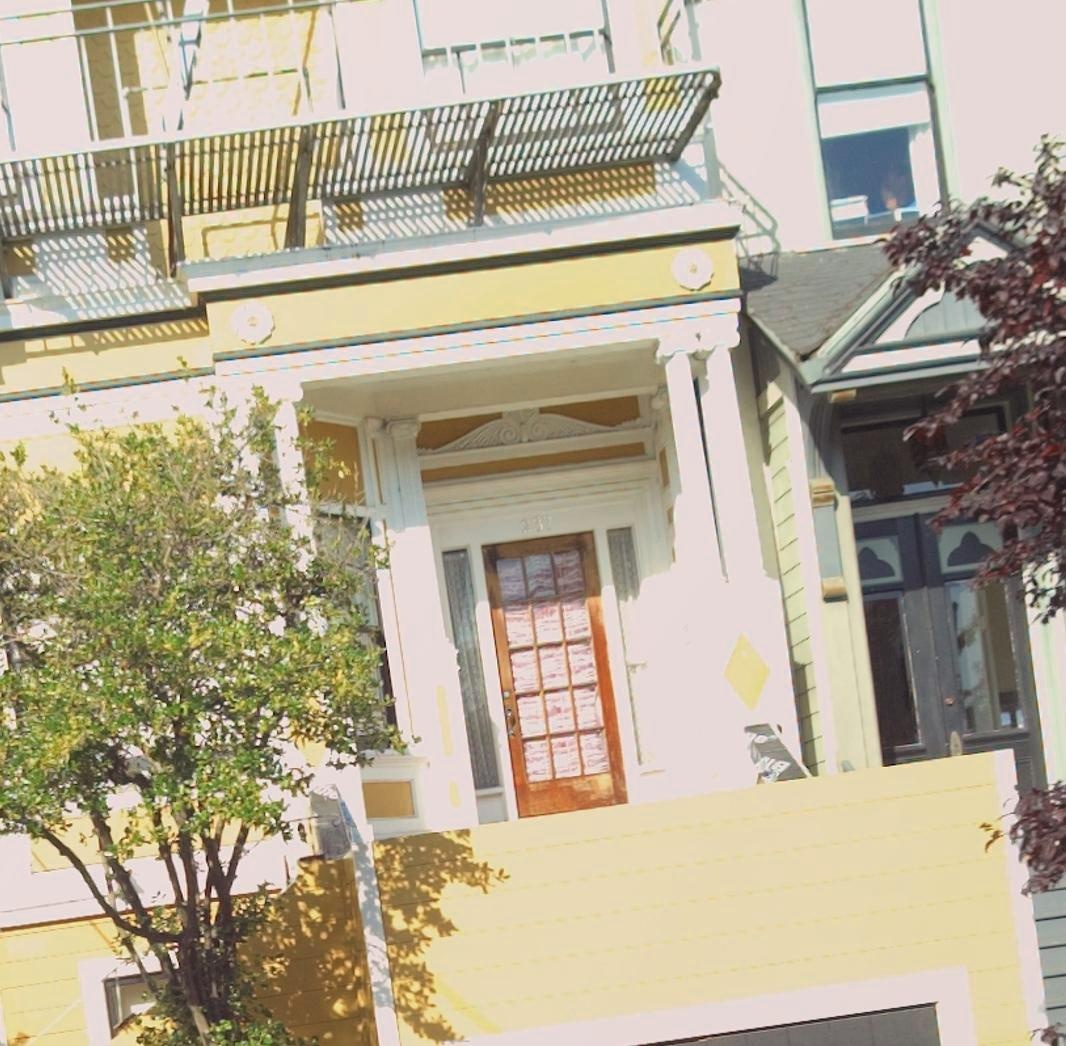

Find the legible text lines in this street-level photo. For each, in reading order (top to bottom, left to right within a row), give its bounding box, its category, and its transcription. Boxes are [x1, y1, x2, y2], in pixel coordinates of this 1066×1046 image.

[519, 511, 557, 536] StreetNumber: 237